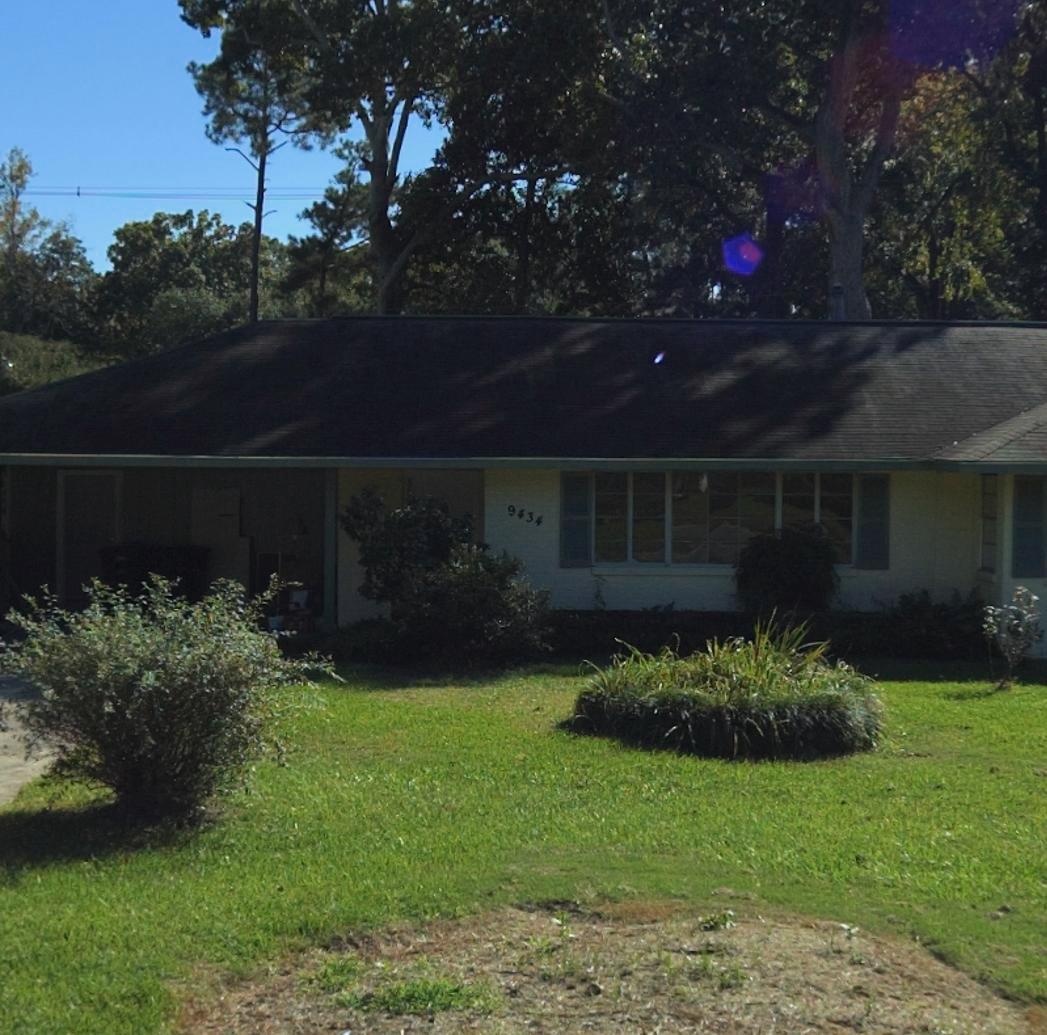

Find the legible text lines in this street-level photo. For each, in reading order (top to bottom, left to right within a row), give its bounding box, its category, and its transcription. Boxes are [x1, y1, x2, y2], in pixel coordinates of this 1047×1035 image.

[507, 504, 544, 527] StreetNumber: 9434